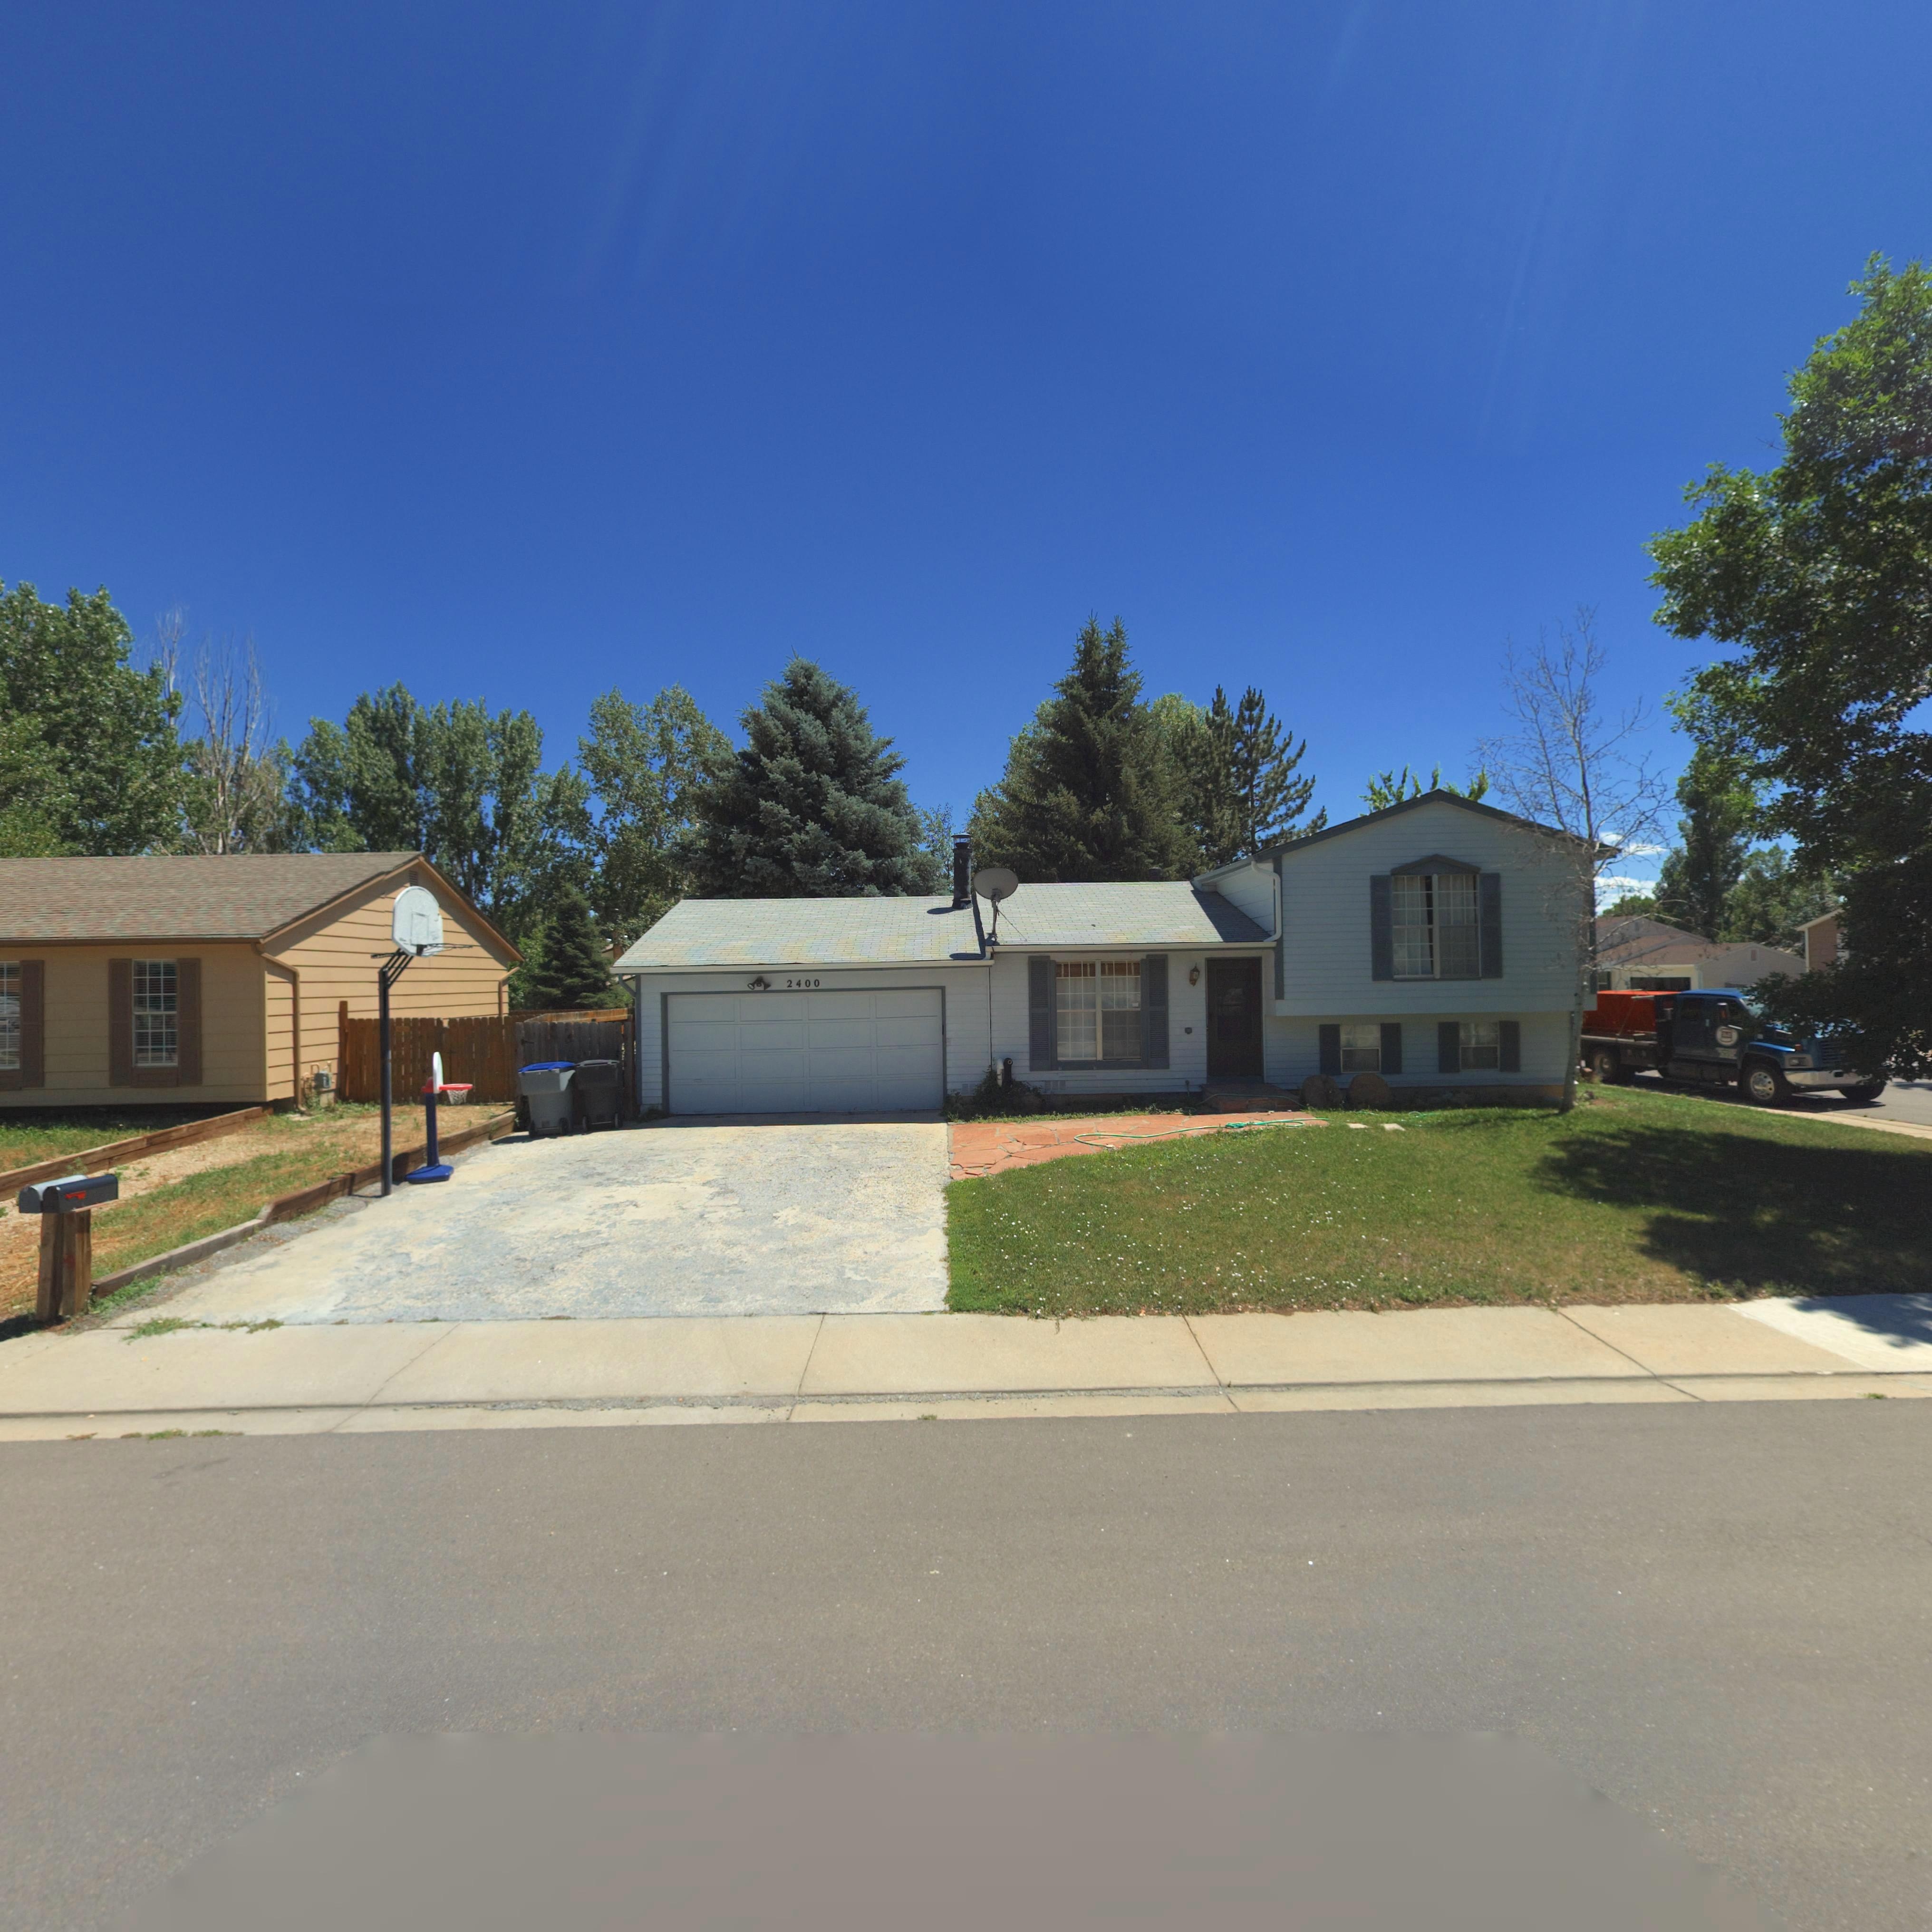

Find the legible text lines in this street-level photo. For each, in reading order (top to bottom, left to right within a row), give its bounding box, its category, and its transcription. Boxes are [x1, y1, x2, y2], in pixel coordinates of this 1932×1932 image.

[786, 979, 820, 988] StreetNumber: 2400